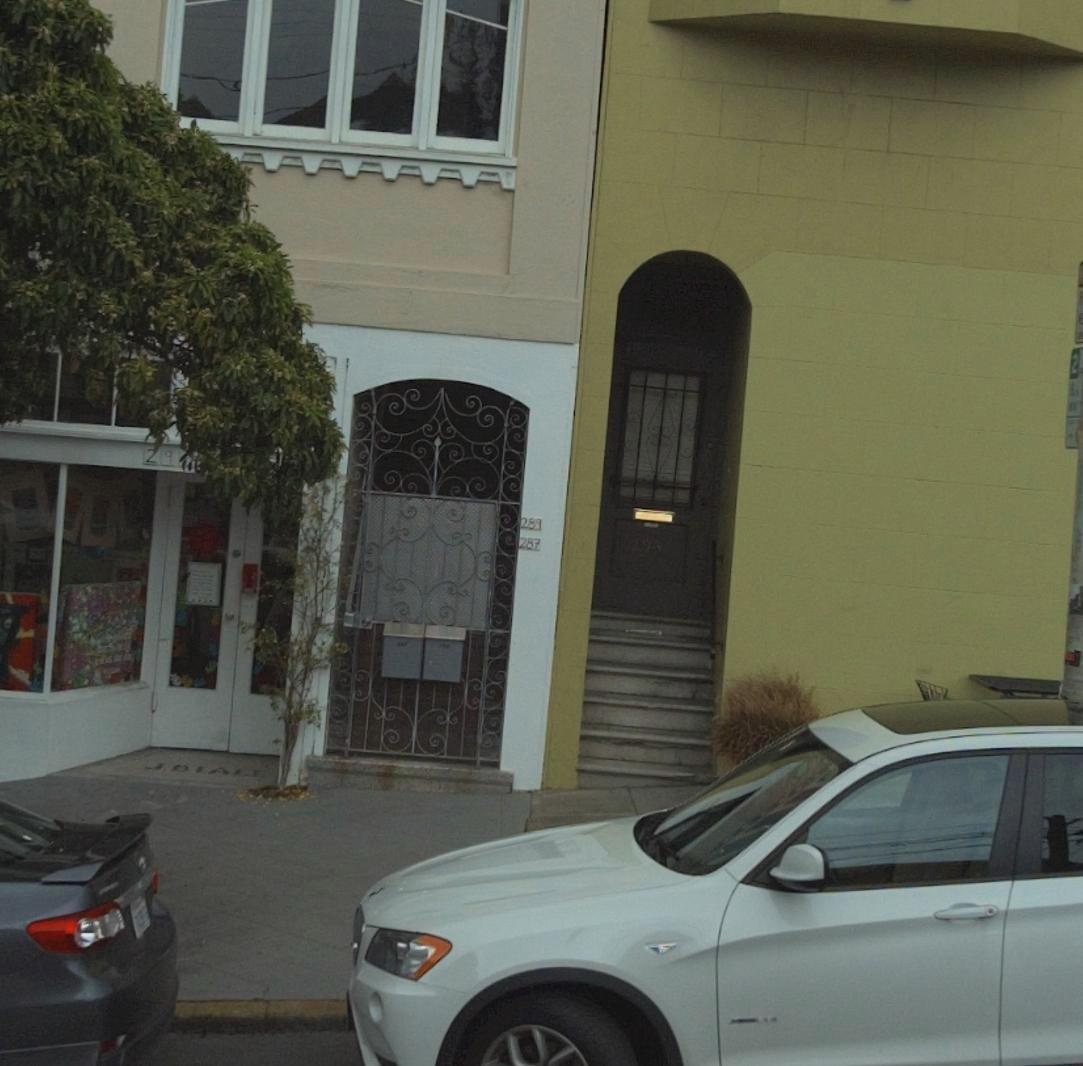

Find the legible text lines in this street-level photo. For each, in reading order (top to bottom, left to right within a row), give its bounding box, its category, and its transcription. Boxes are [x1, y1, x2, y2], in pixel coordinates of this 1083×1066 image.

[145, 448, 192, 466] StreetNumber: 291
[518, 518, 542, 529] StreetNumber: 289
[518, 536, 542, 550] StreetNumber: 287